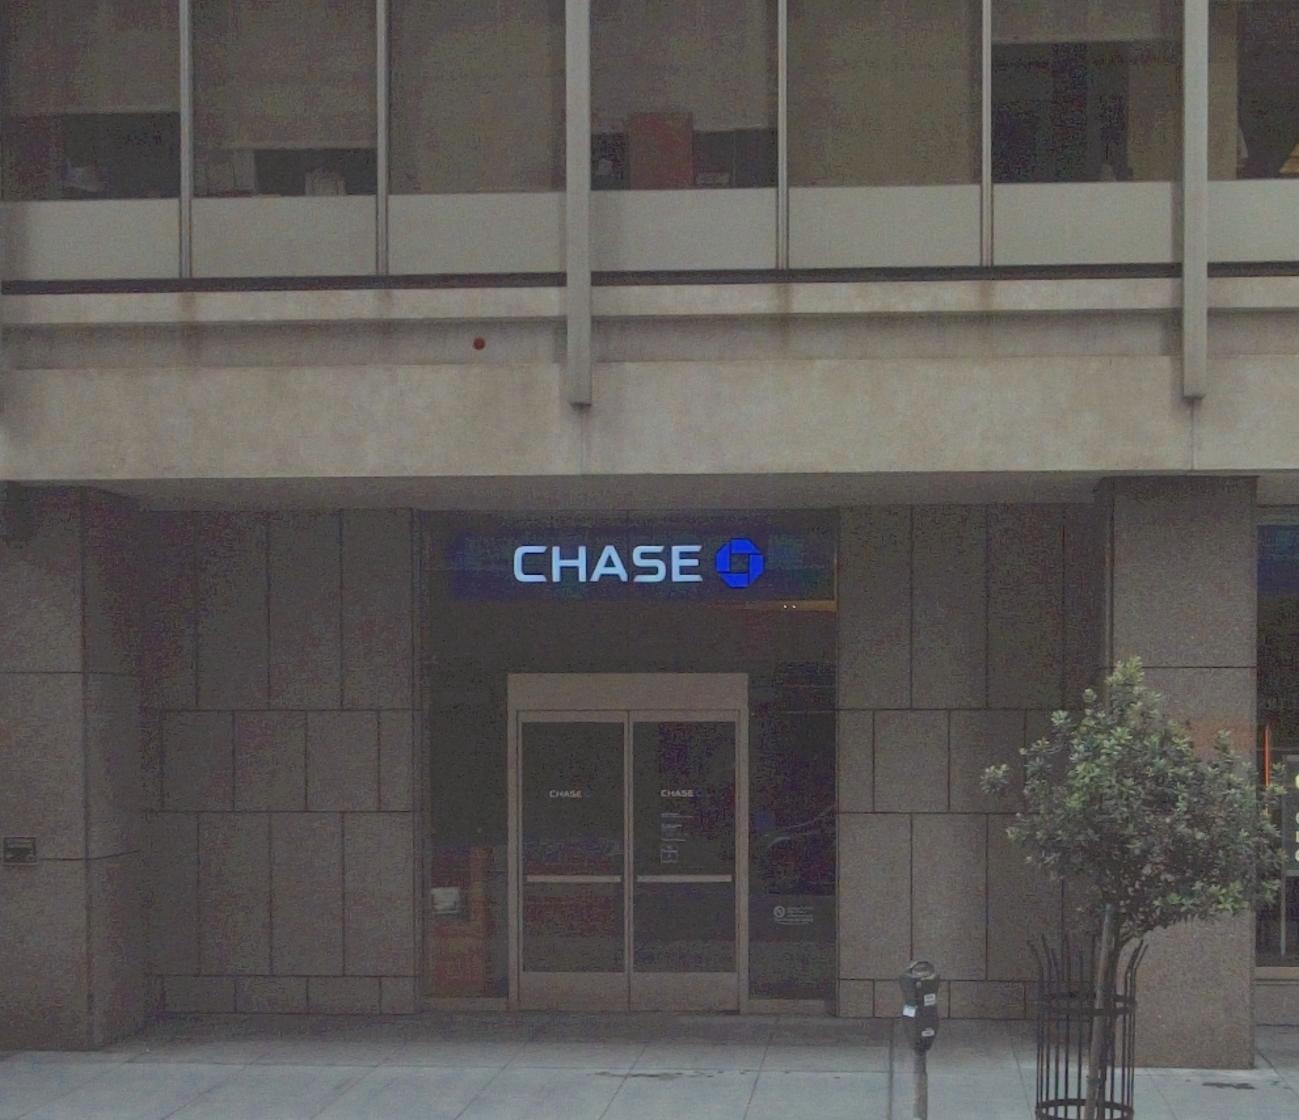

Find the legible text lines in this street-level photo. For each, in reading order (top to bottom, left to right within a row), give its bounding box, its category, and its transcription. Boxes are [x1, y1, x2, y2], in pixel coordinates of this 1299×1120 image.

[510, 540, 706, 586] BusinessName: CHASE
[546, 788, 584, 800] BusinessName: CHASE
[659, 788, 696, 799] BusinessName: CHASE